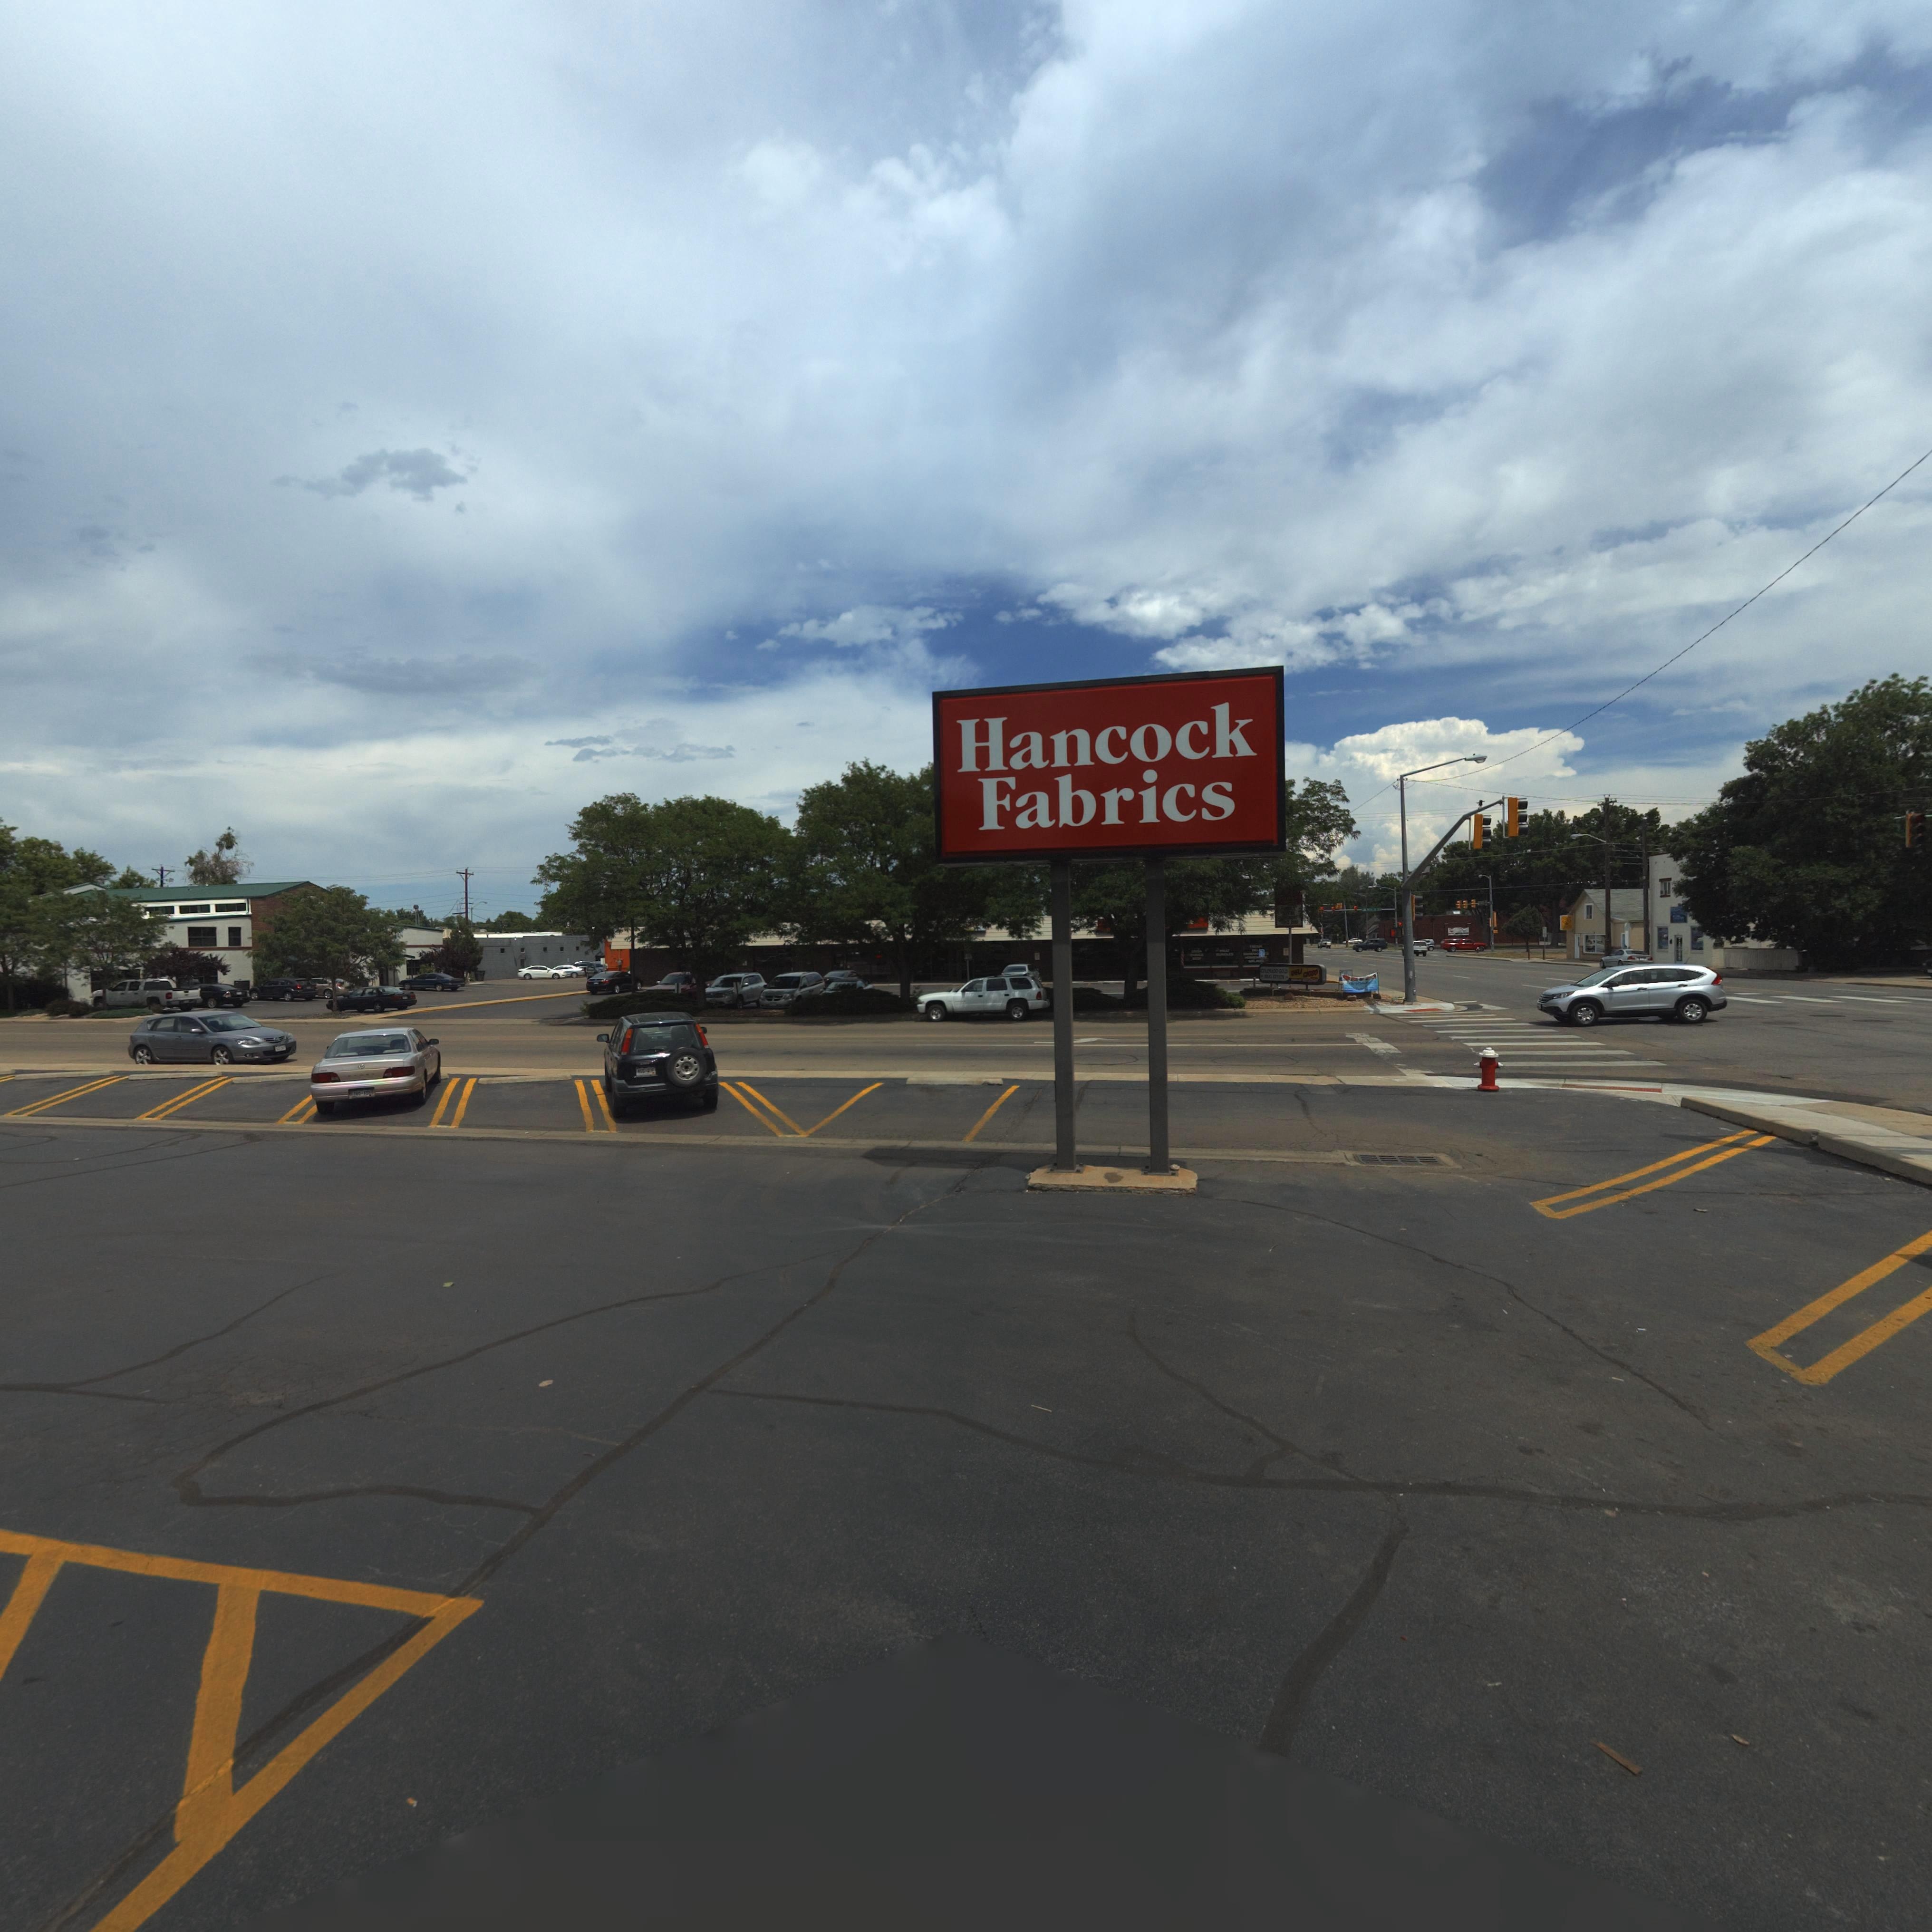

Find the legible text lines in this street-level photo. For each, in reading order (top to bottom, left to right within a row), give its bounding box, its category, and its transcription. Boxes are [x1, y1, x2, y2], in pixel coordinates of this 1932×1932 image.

[954, 700, 1259, 773] BusinessName: Hancock
[976, 768, 1238, 831] BusinessName: Fabrics
[1260, 968, 1288, 974] BusinessName: ****RADO GOLD
[1264, 974, 1285, 979] BusinessName: *EAL ******
[1290, 968, 1303, 976] BusinessName: DELI
[1303, 967, 1318, 978] BusinessName: CiOSO